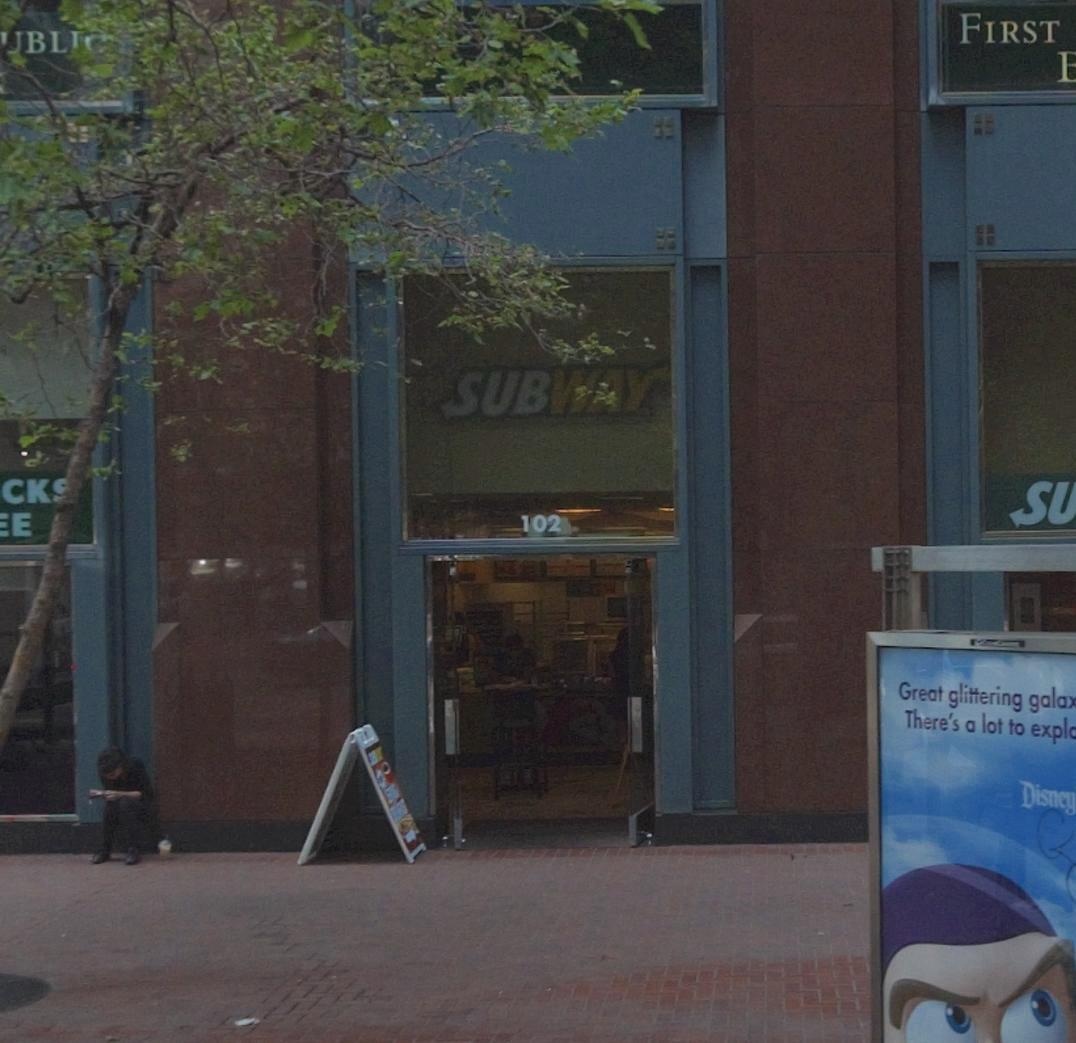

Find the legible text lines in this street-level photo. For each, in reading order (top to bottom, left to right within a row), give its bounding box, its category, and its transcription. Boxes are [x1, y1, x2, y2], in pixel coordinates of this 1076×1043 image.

[23, 28, 69, 56] None: BL
[957, 11, 1061, 46] None: FIRST
[435, 363, 671, 420] BusinessName: SUBWAY
[0, 475, 55, 506] None: CK
[1007, 478, 1057, 530] None: S
[10, 509, 34, 539] None: E
[519, 512, 563, 534] StreetNumber: 102
[897, 678, 1068, 715] None: Great glittering gala
[903, 707, 1069, 747] None: There's a lot to expl
[1019, 779, 1075, 818] BusinessName: Disney